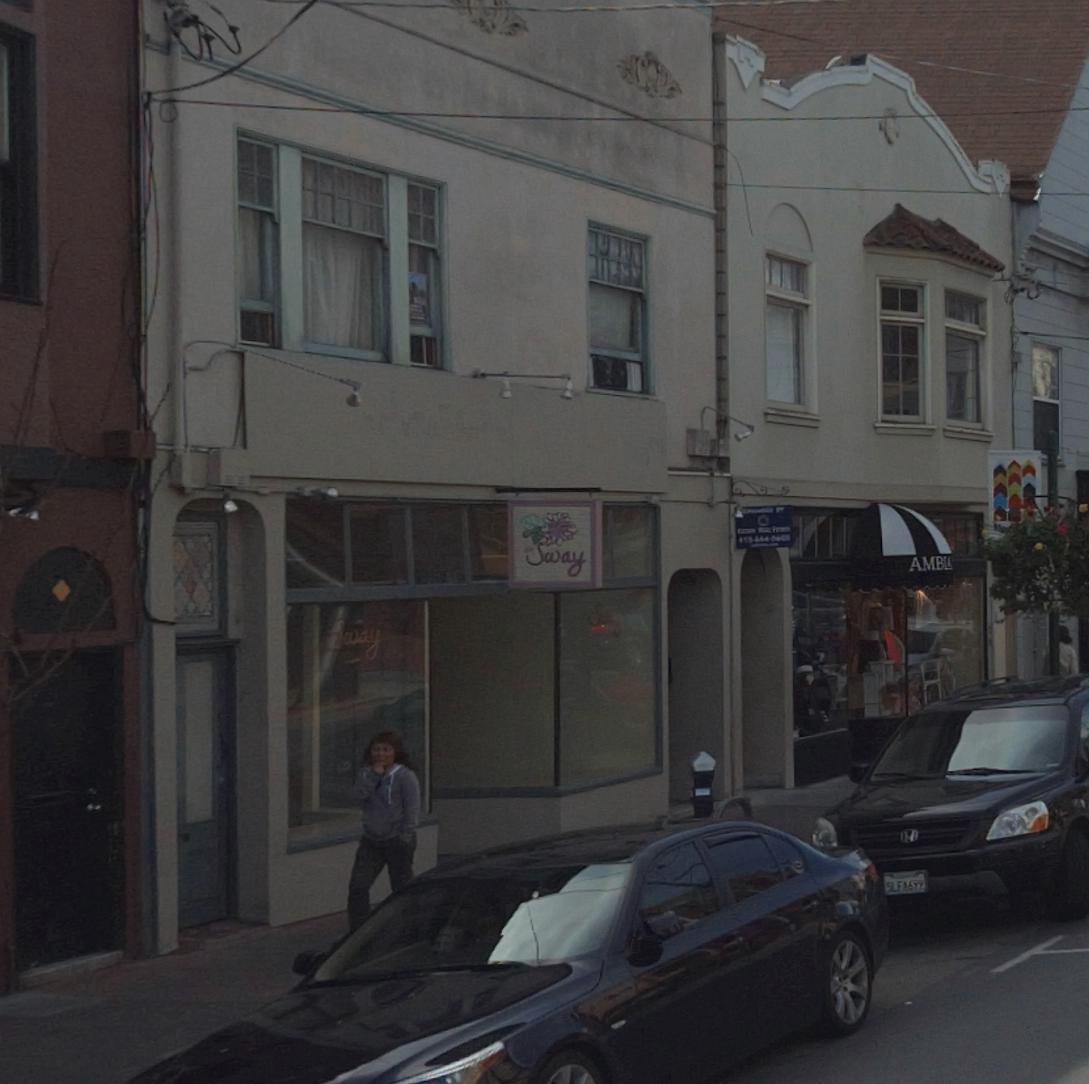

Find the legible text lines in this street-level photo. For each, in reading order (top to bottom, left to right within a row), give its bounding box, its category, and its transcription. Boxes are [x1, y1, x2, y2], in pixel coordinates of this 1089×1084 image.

[524, 541, 587, 577] BusinessName: Sway
[908, 556, 945, 573] BusinessName: AMBL
[325, 620, 382, 661] BusinessName: Sway
[904, 831, 915, 844] None: H
[886, 880, 924, 893] None: 5LFA699